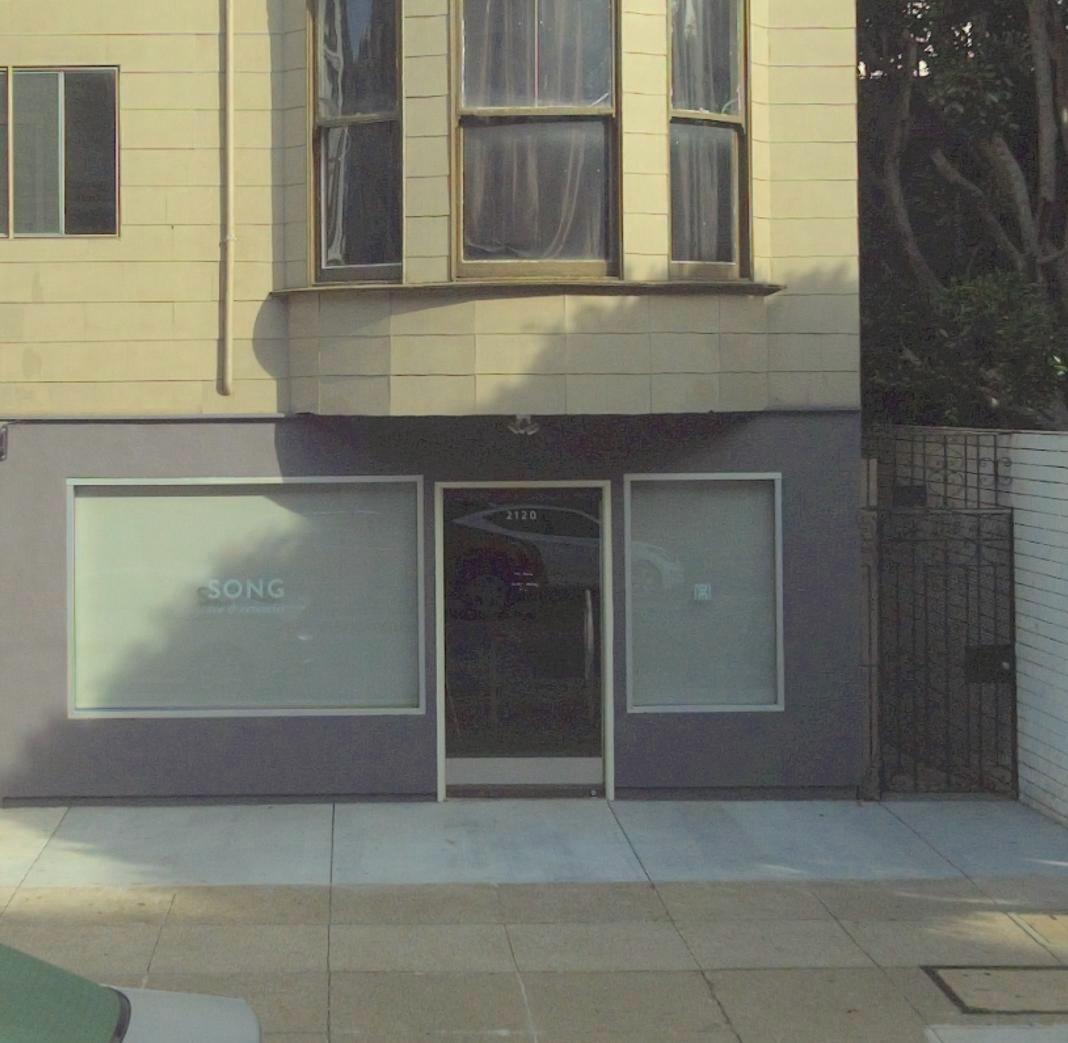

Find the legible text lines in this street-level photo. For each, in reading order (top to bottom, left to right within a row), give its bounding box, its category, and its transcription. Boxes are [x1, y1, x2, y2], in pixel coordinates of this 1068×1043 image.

[504, 508, 539, 522] StreetNumber: 2120
[204, 575, 286, 602] BusinessName: SONG